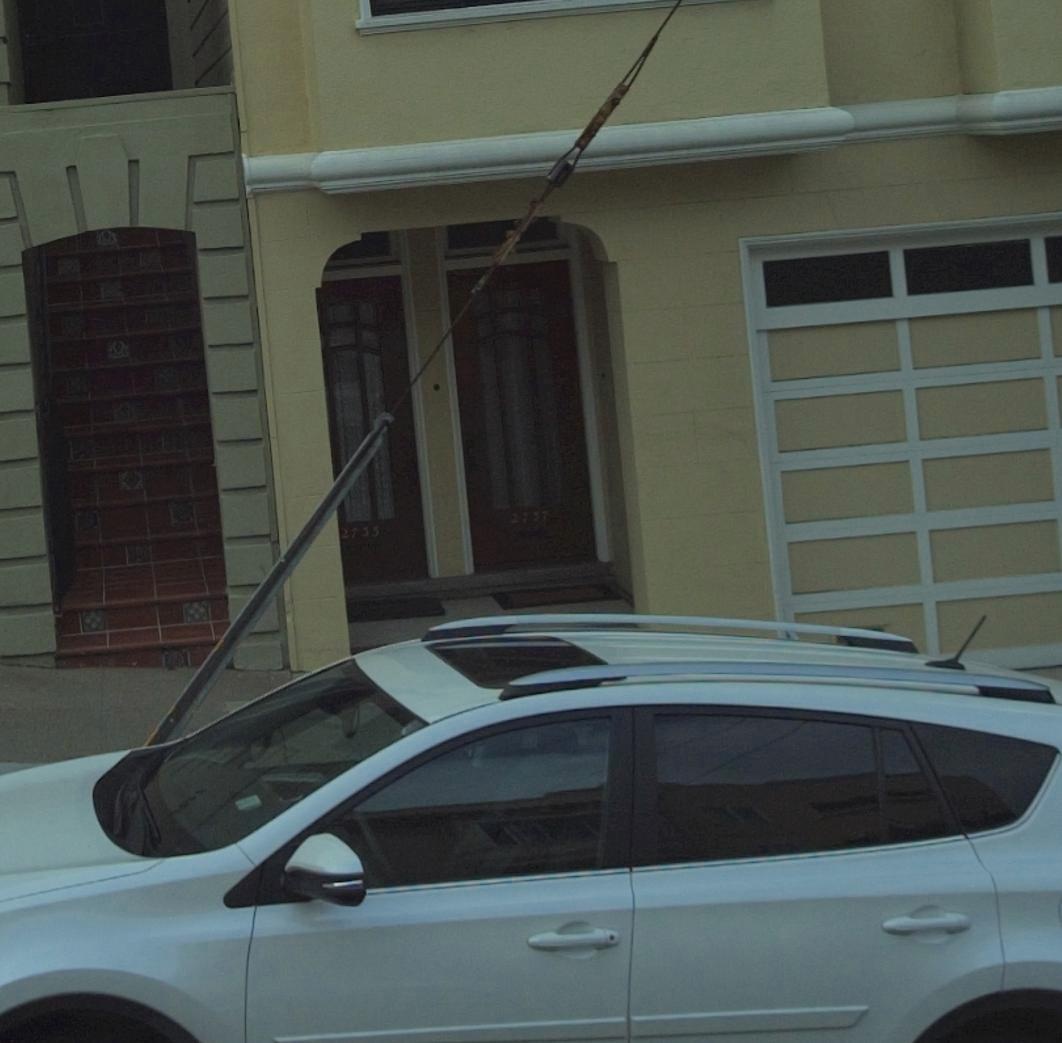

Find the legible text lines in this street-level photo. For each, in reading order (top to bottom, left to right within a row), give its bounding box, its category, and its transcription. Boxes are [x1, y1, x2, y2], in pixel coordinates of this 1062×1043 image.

[508, 507, 553, 526] StreetNumber: 2737
[338, 523, 382, 542] StreetNumber: 2735